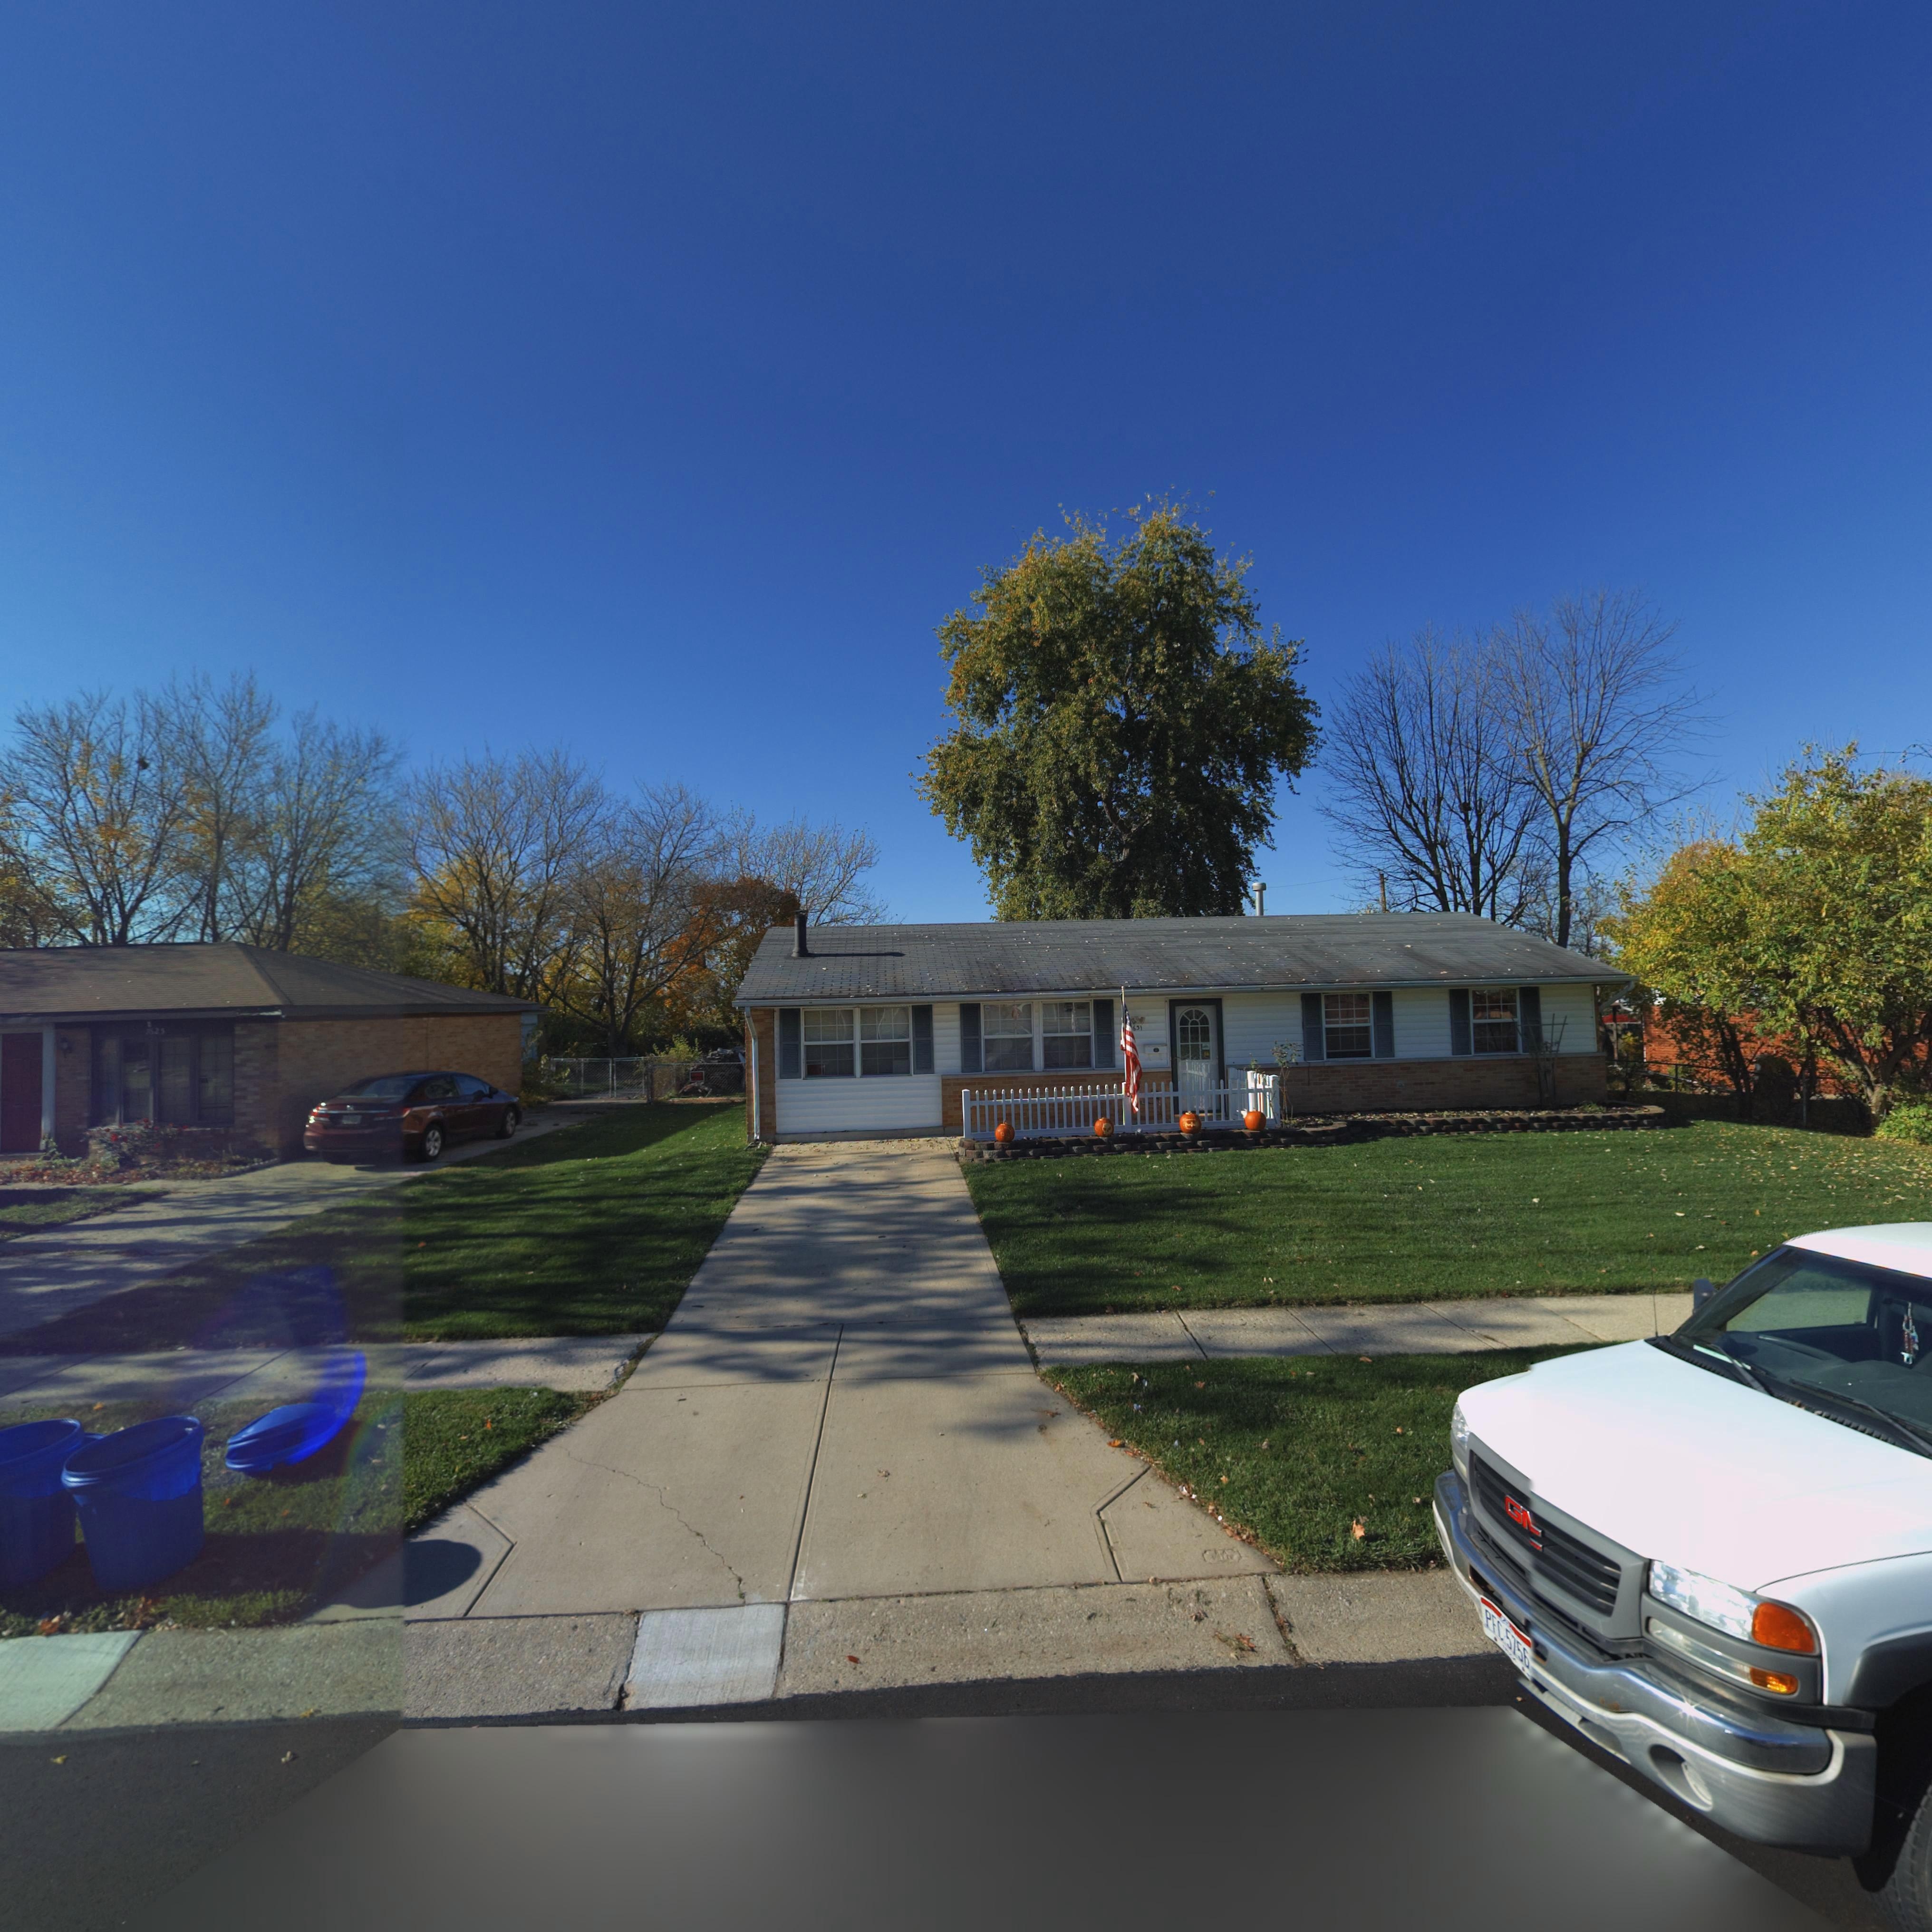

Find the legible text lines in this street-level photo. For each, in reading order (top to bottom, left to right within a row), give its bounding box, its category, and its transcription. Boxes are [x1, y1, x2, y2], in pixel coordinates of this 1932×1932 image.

[144, 1026, 167, 1037] StreetNumber: **2*
[1131, 1024, 1143, 1032] StreetNumber: 6*1